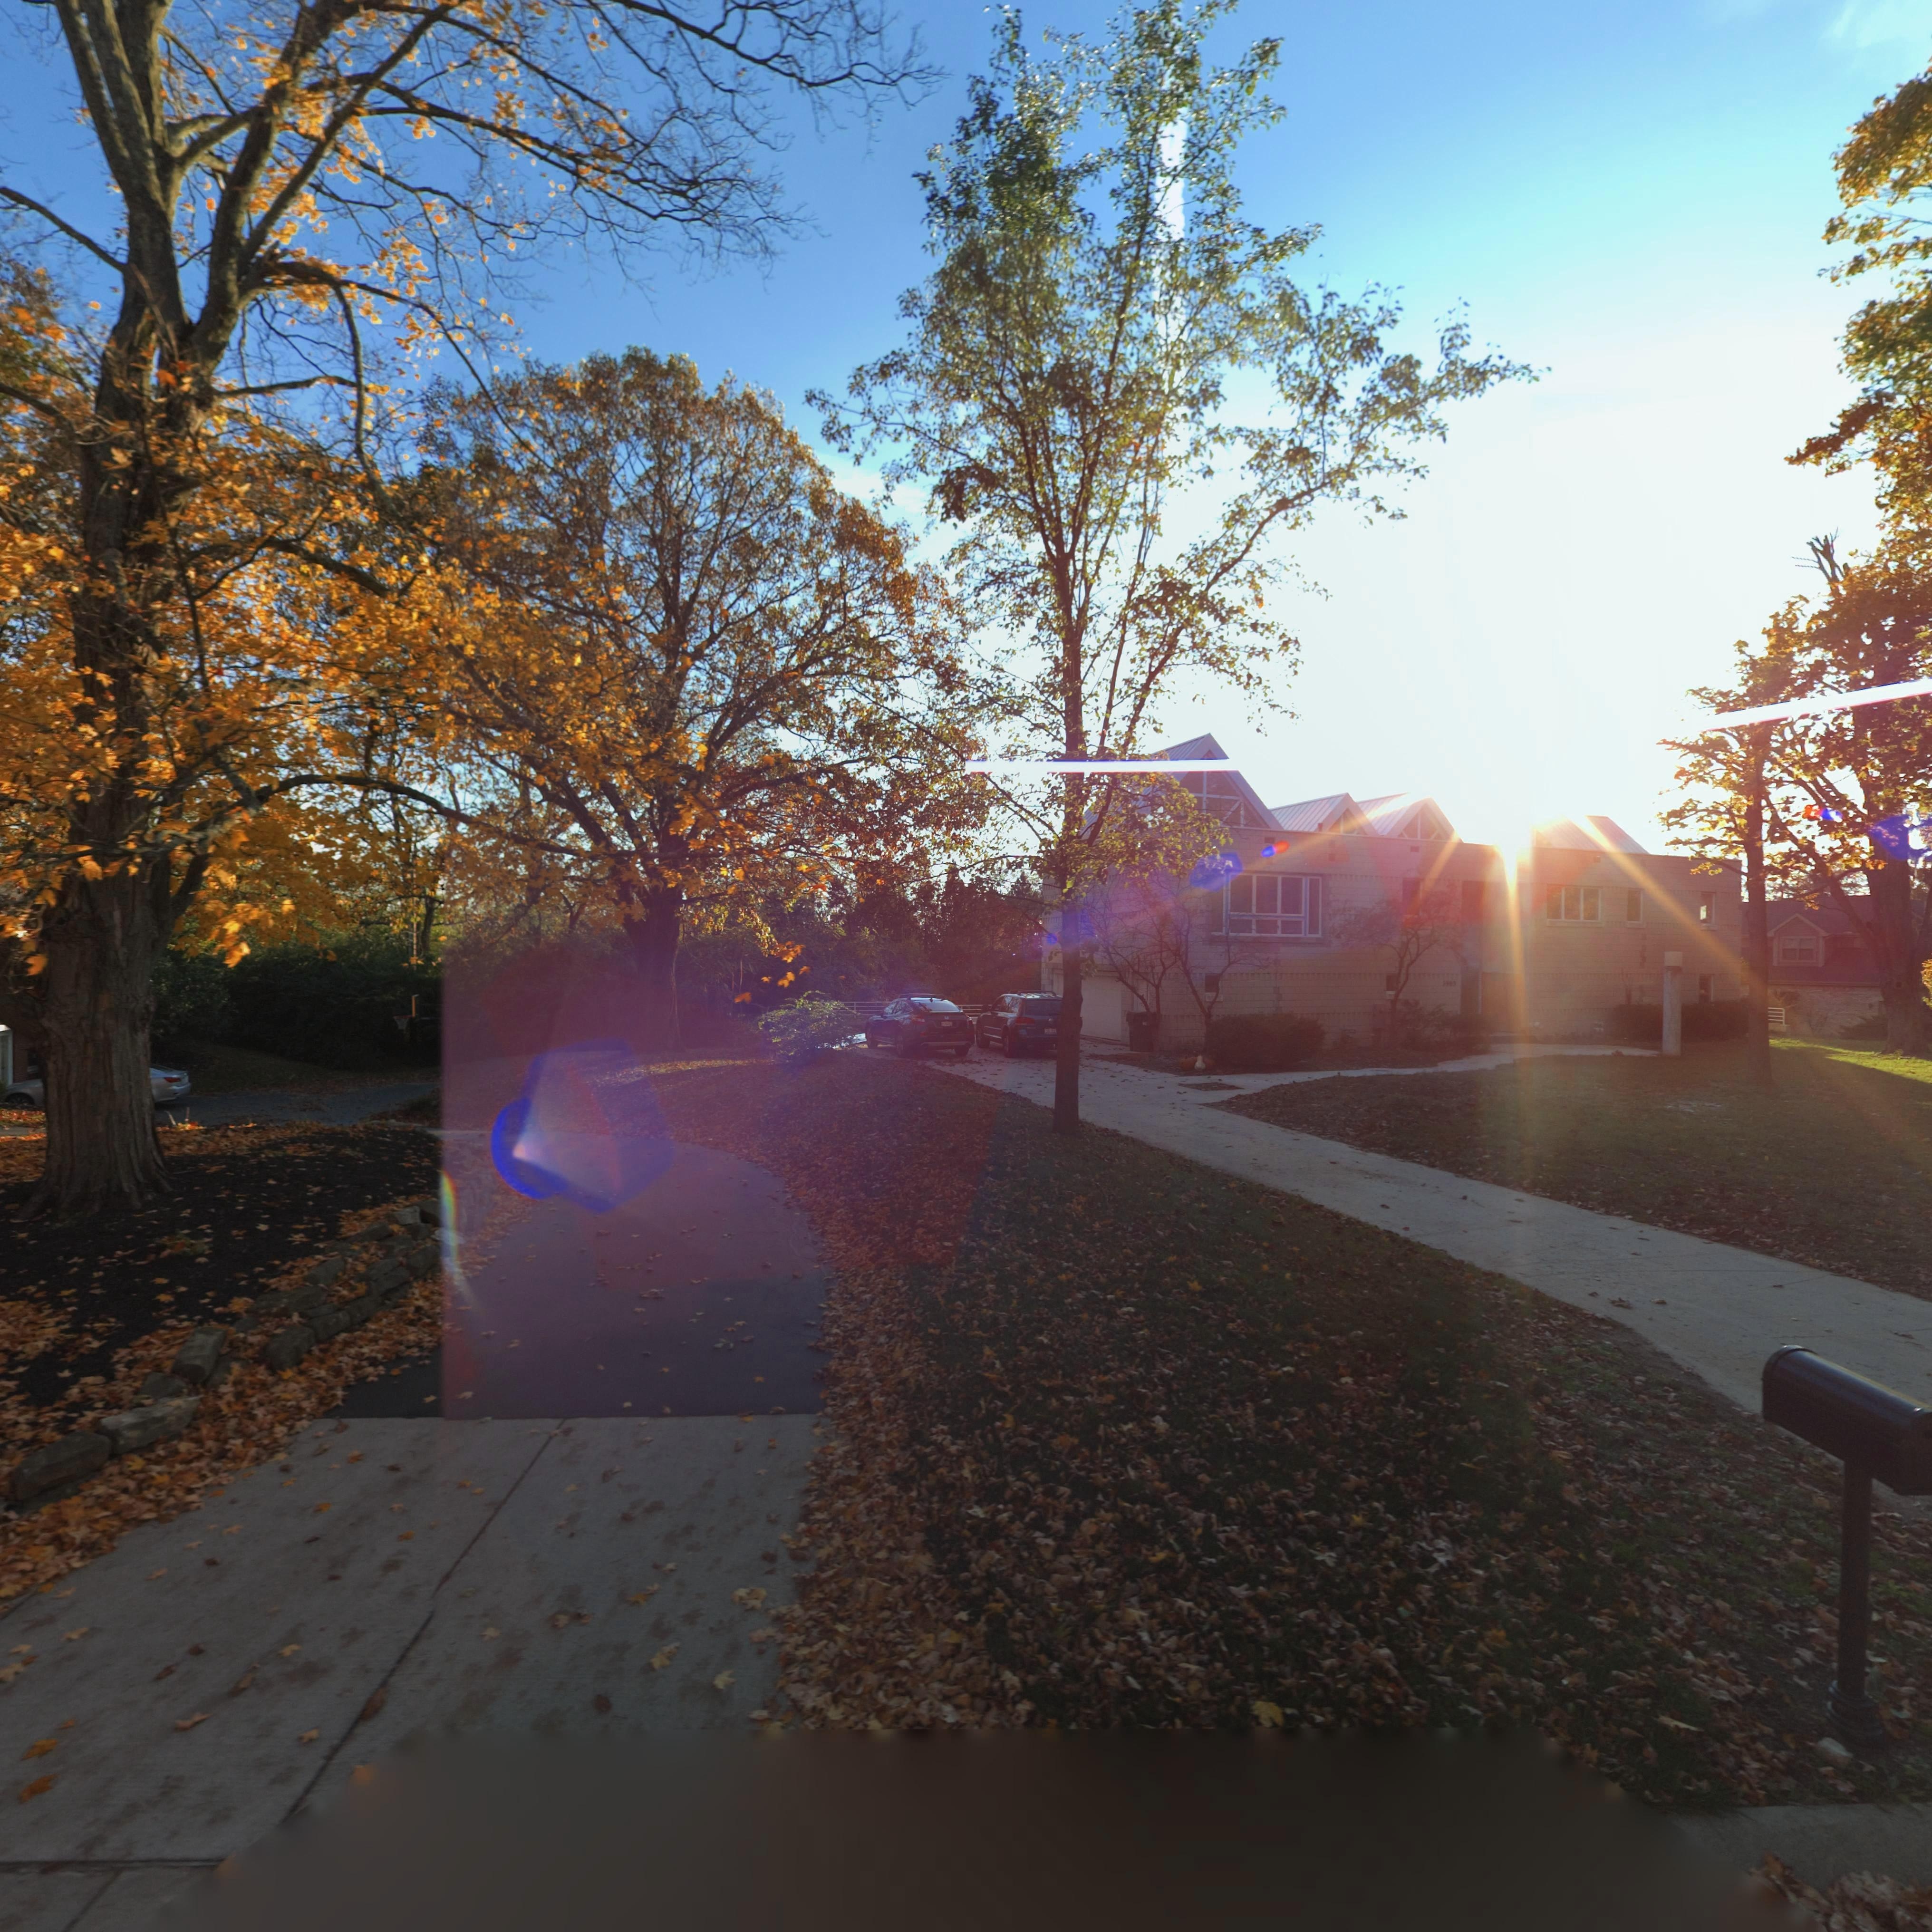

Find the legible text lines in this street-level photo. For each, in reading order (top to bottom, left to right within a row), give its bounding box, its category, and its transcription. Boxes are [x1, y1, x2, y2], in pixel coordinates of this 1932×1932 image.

[1441, 980, 1456, 986] StreetNumber: 3985